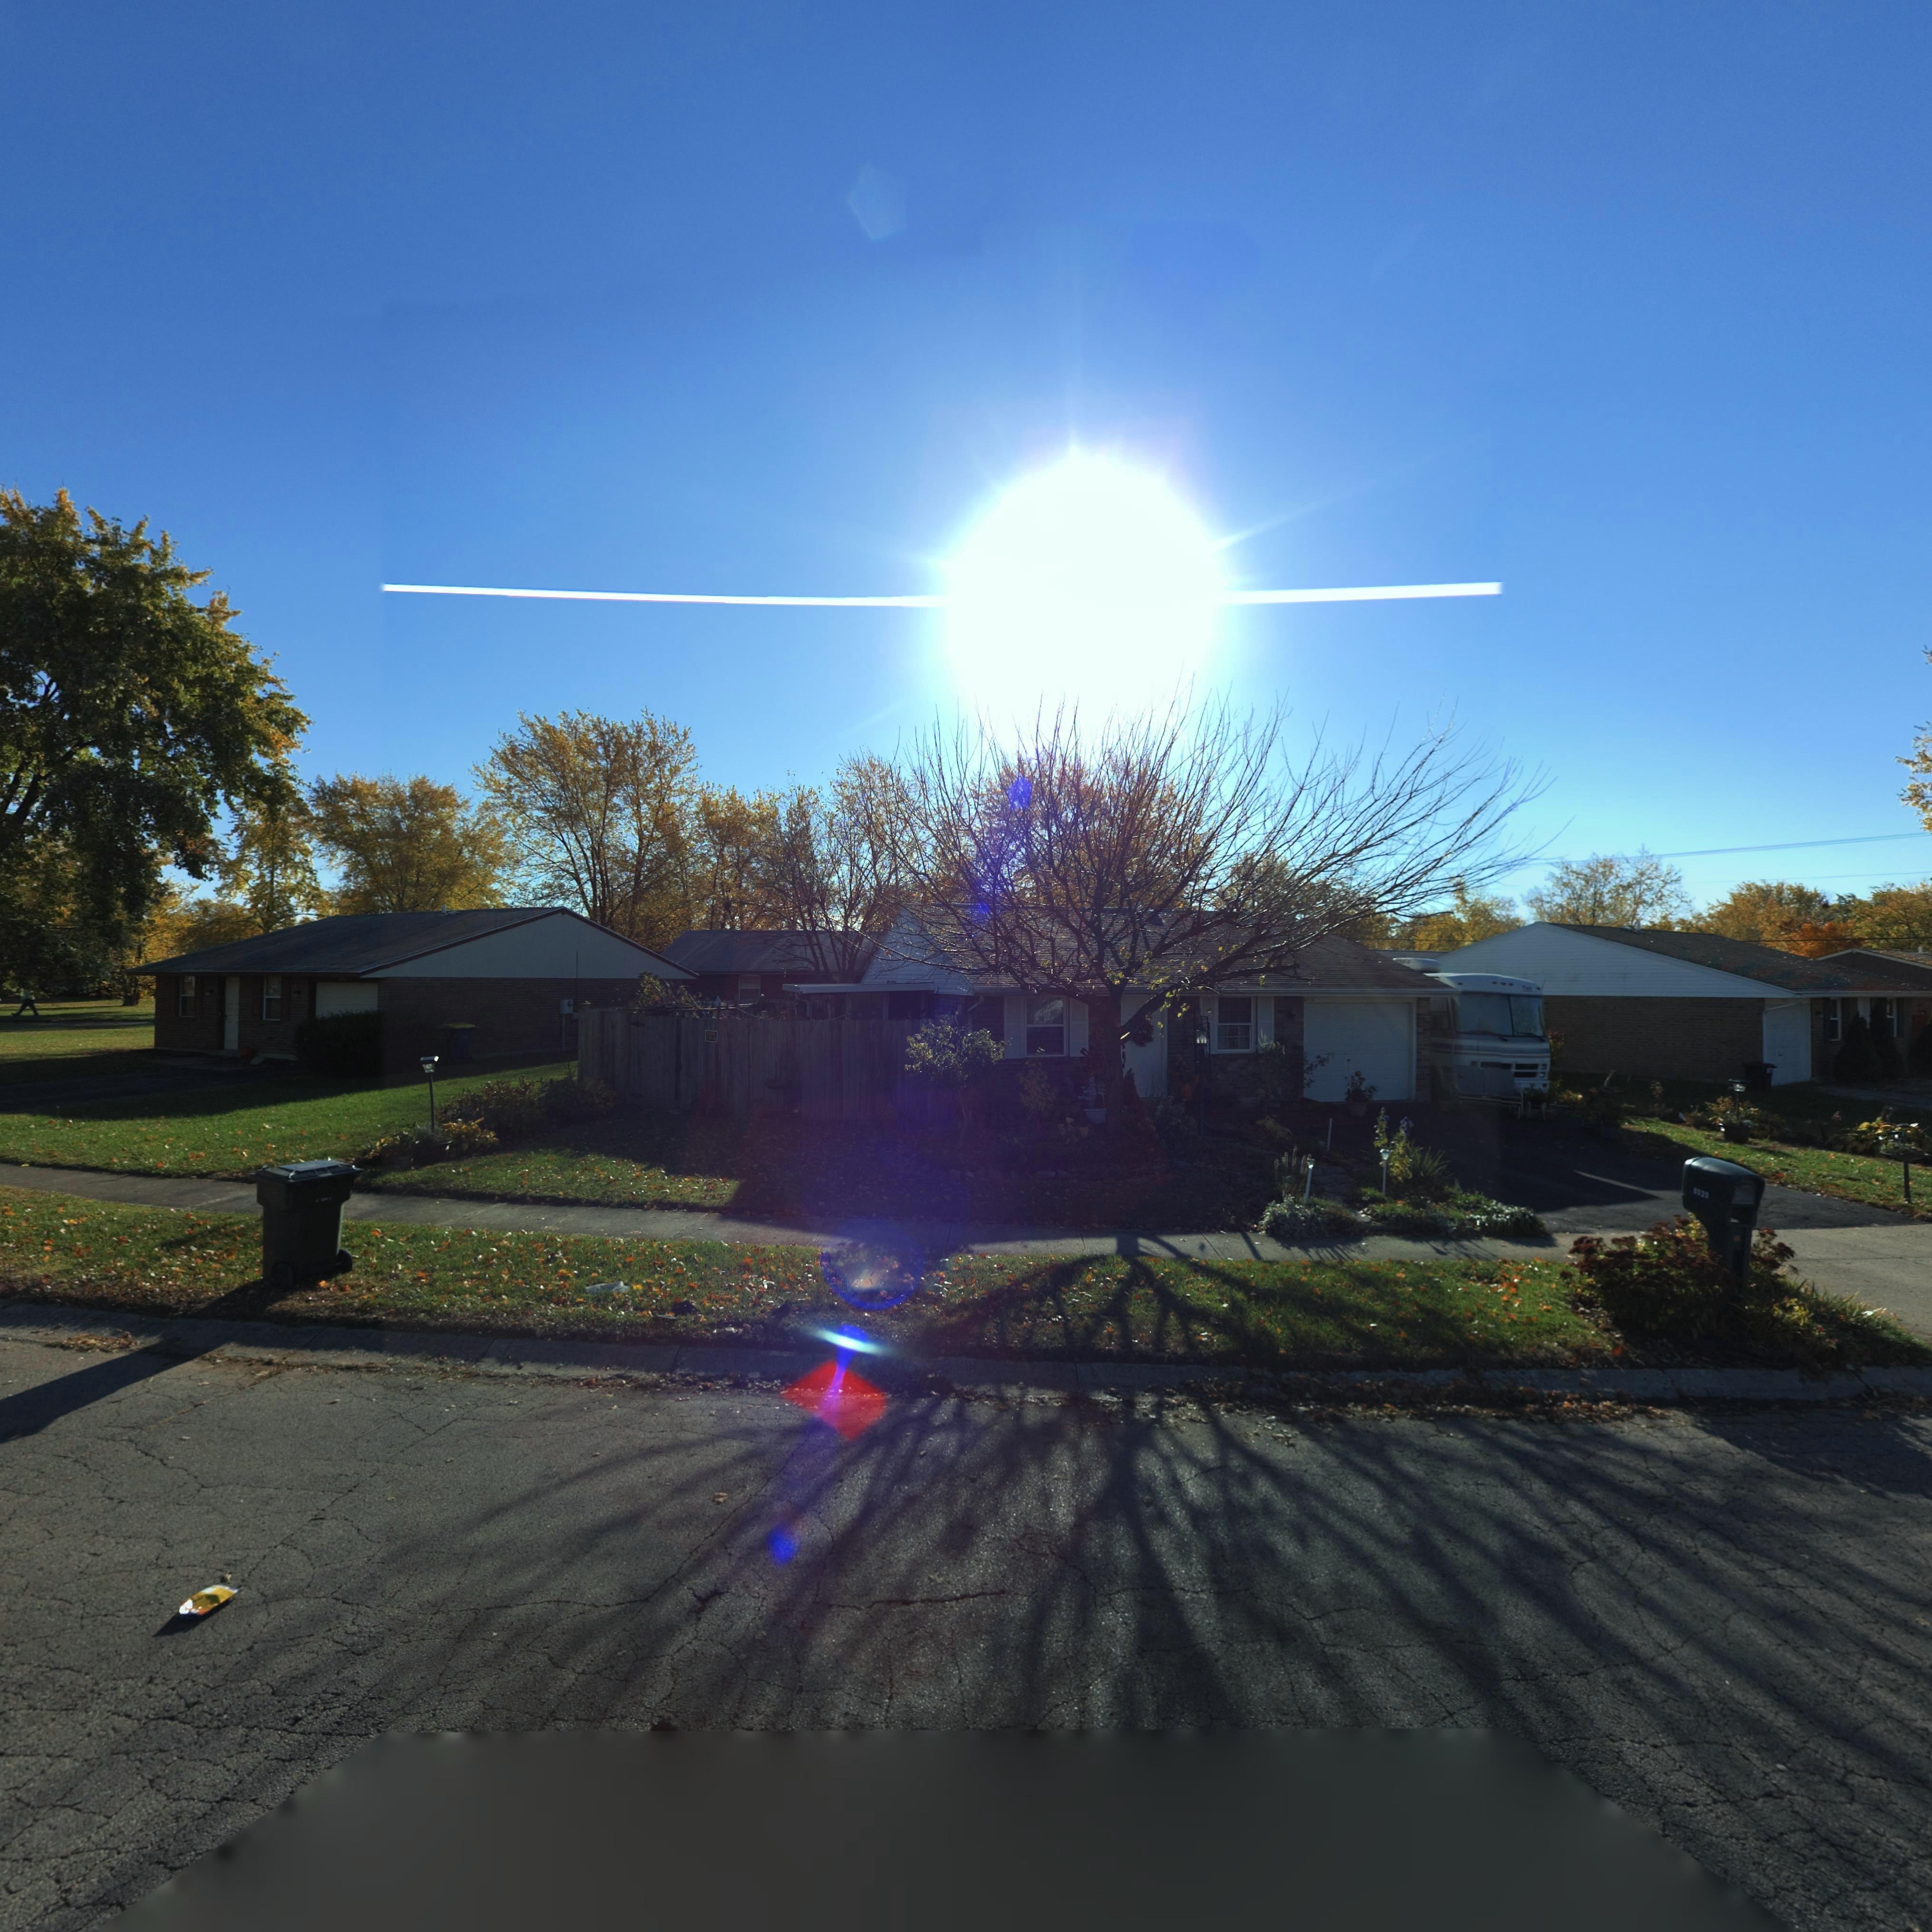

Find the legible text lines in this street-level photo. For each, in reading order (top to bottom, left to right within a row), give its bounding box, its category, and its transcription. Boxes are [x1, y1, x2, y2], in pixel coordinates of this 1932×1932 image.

[1302, 996, 1316, 1003] StreetNumber: *0*0
[1692, 1186, 1710, 1200] StreetNumber: 8020